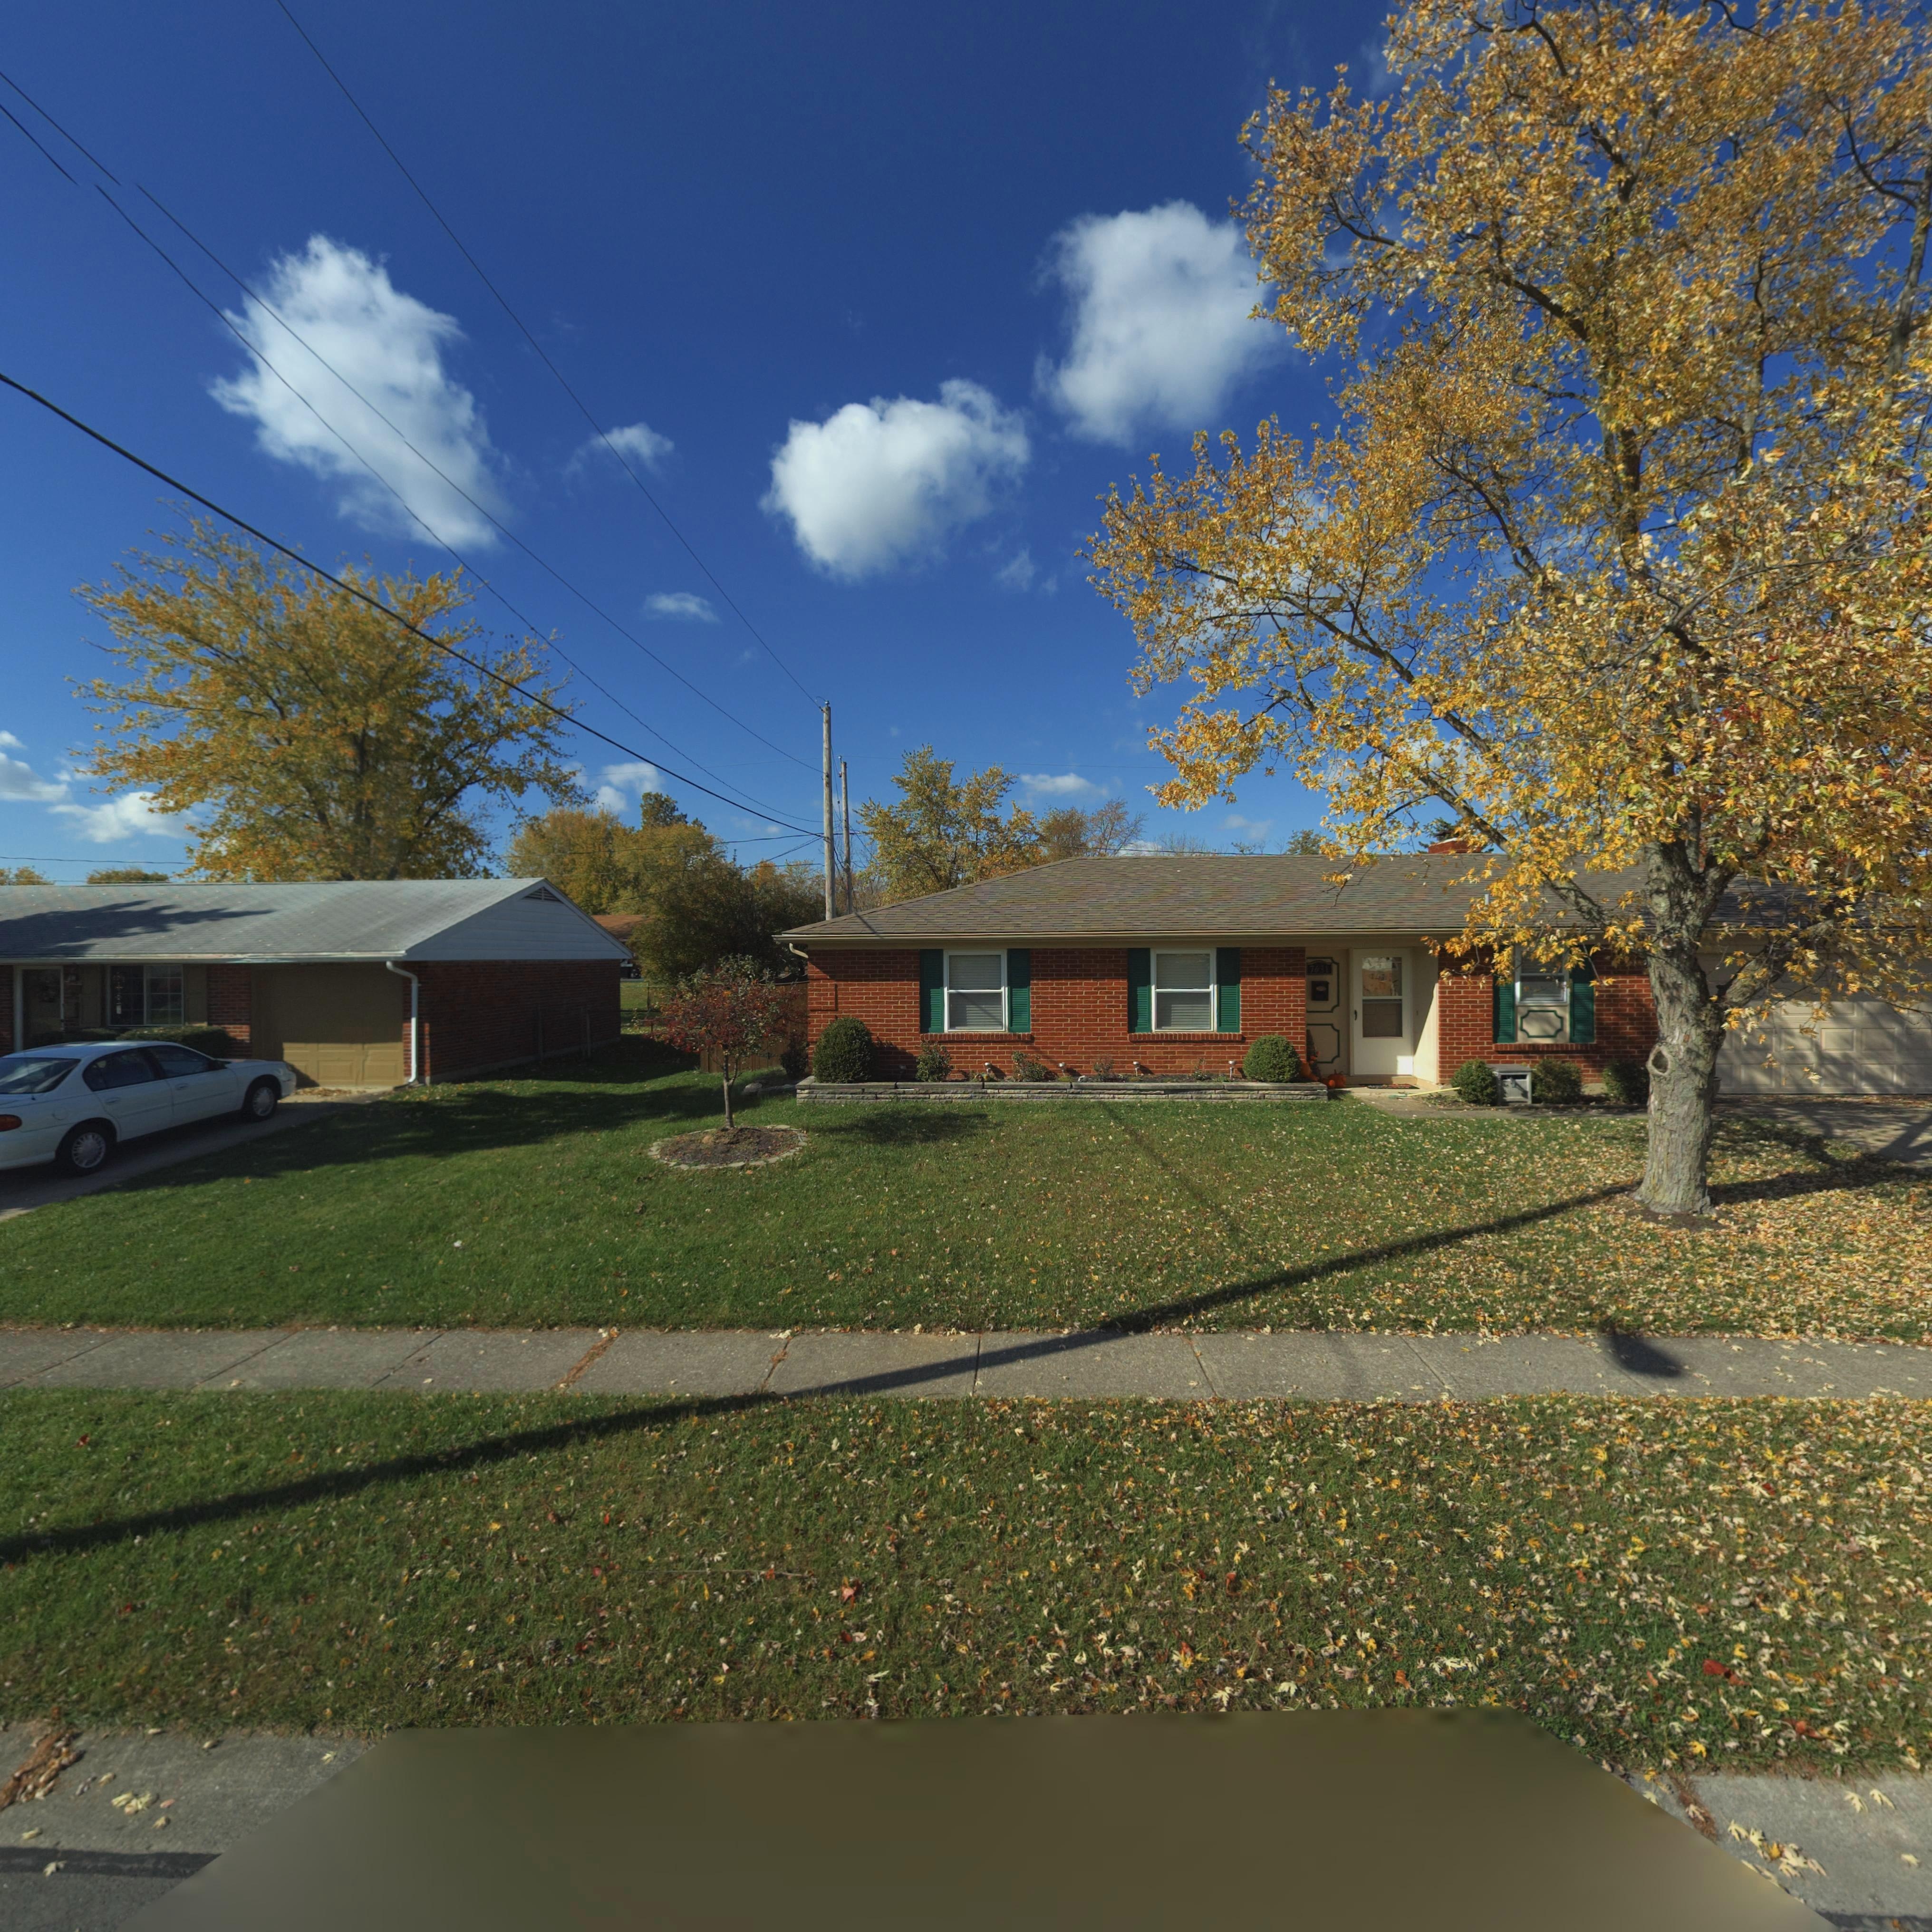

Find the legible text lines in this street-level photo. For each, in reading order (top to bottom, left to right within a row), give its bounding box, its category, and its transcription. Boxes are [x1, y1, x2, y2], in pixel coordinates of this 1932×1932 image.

[1308, 964, 1329, 975] StreetNumber: 7631